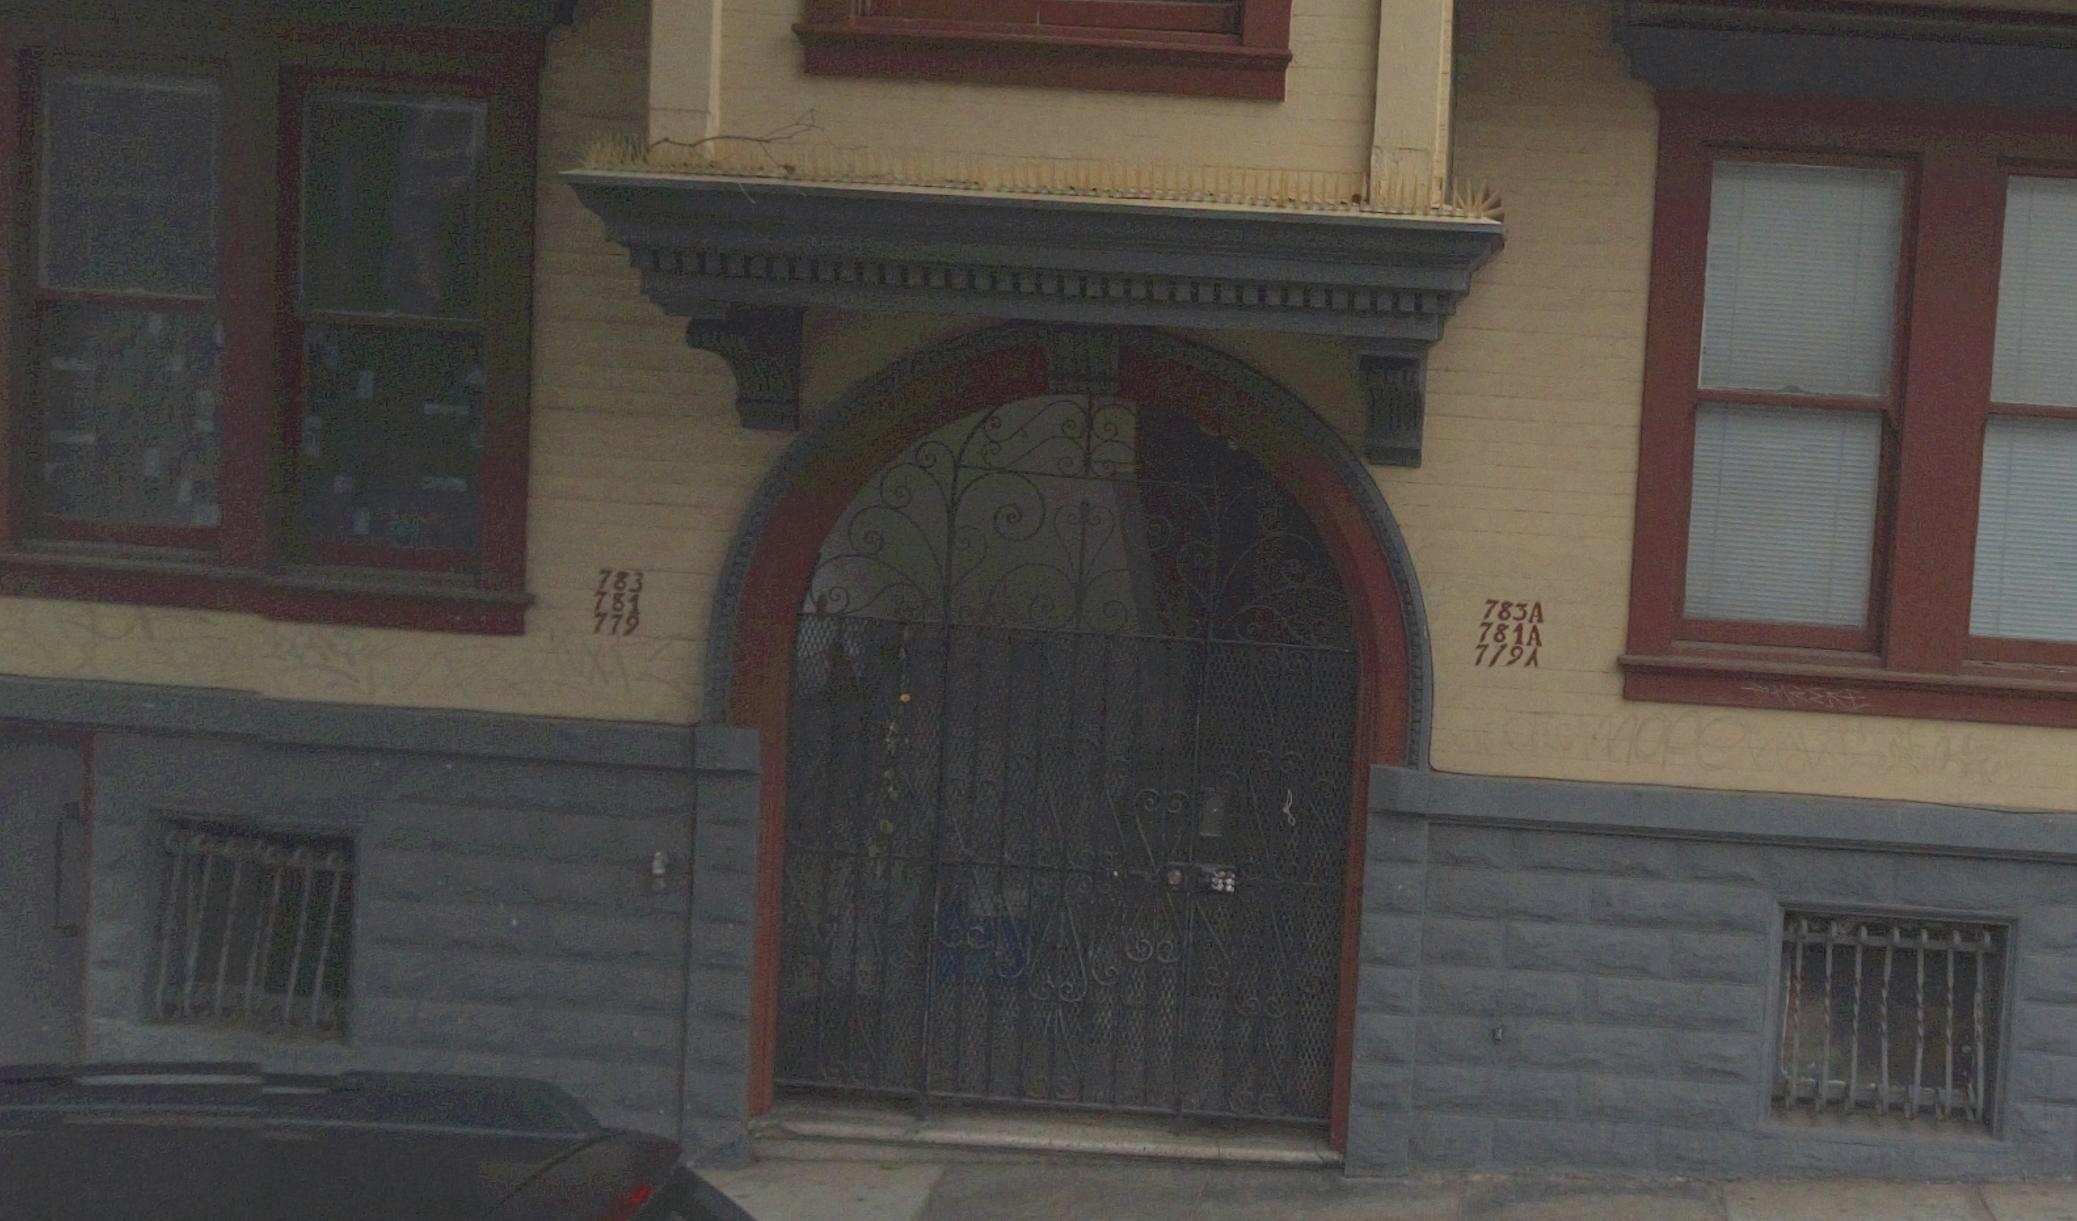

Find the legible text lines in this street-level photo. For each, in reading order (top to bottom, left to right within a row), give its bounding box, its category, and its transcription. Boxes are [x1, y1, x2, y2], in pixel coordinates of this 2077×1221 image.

[597, 568, 645, 593] StreetNumber: 783
[591, 588, 642, 615] StreetNumber: 781
[1482, 597, 1546, 625] StreetNumber: 783A
[591, 612, 641, 639] StreetNumber: 779
[1477, 620, 1546, 650] StreetNumber: 781A
[1472, 642, 1541, 670] StreetNumber: 719A